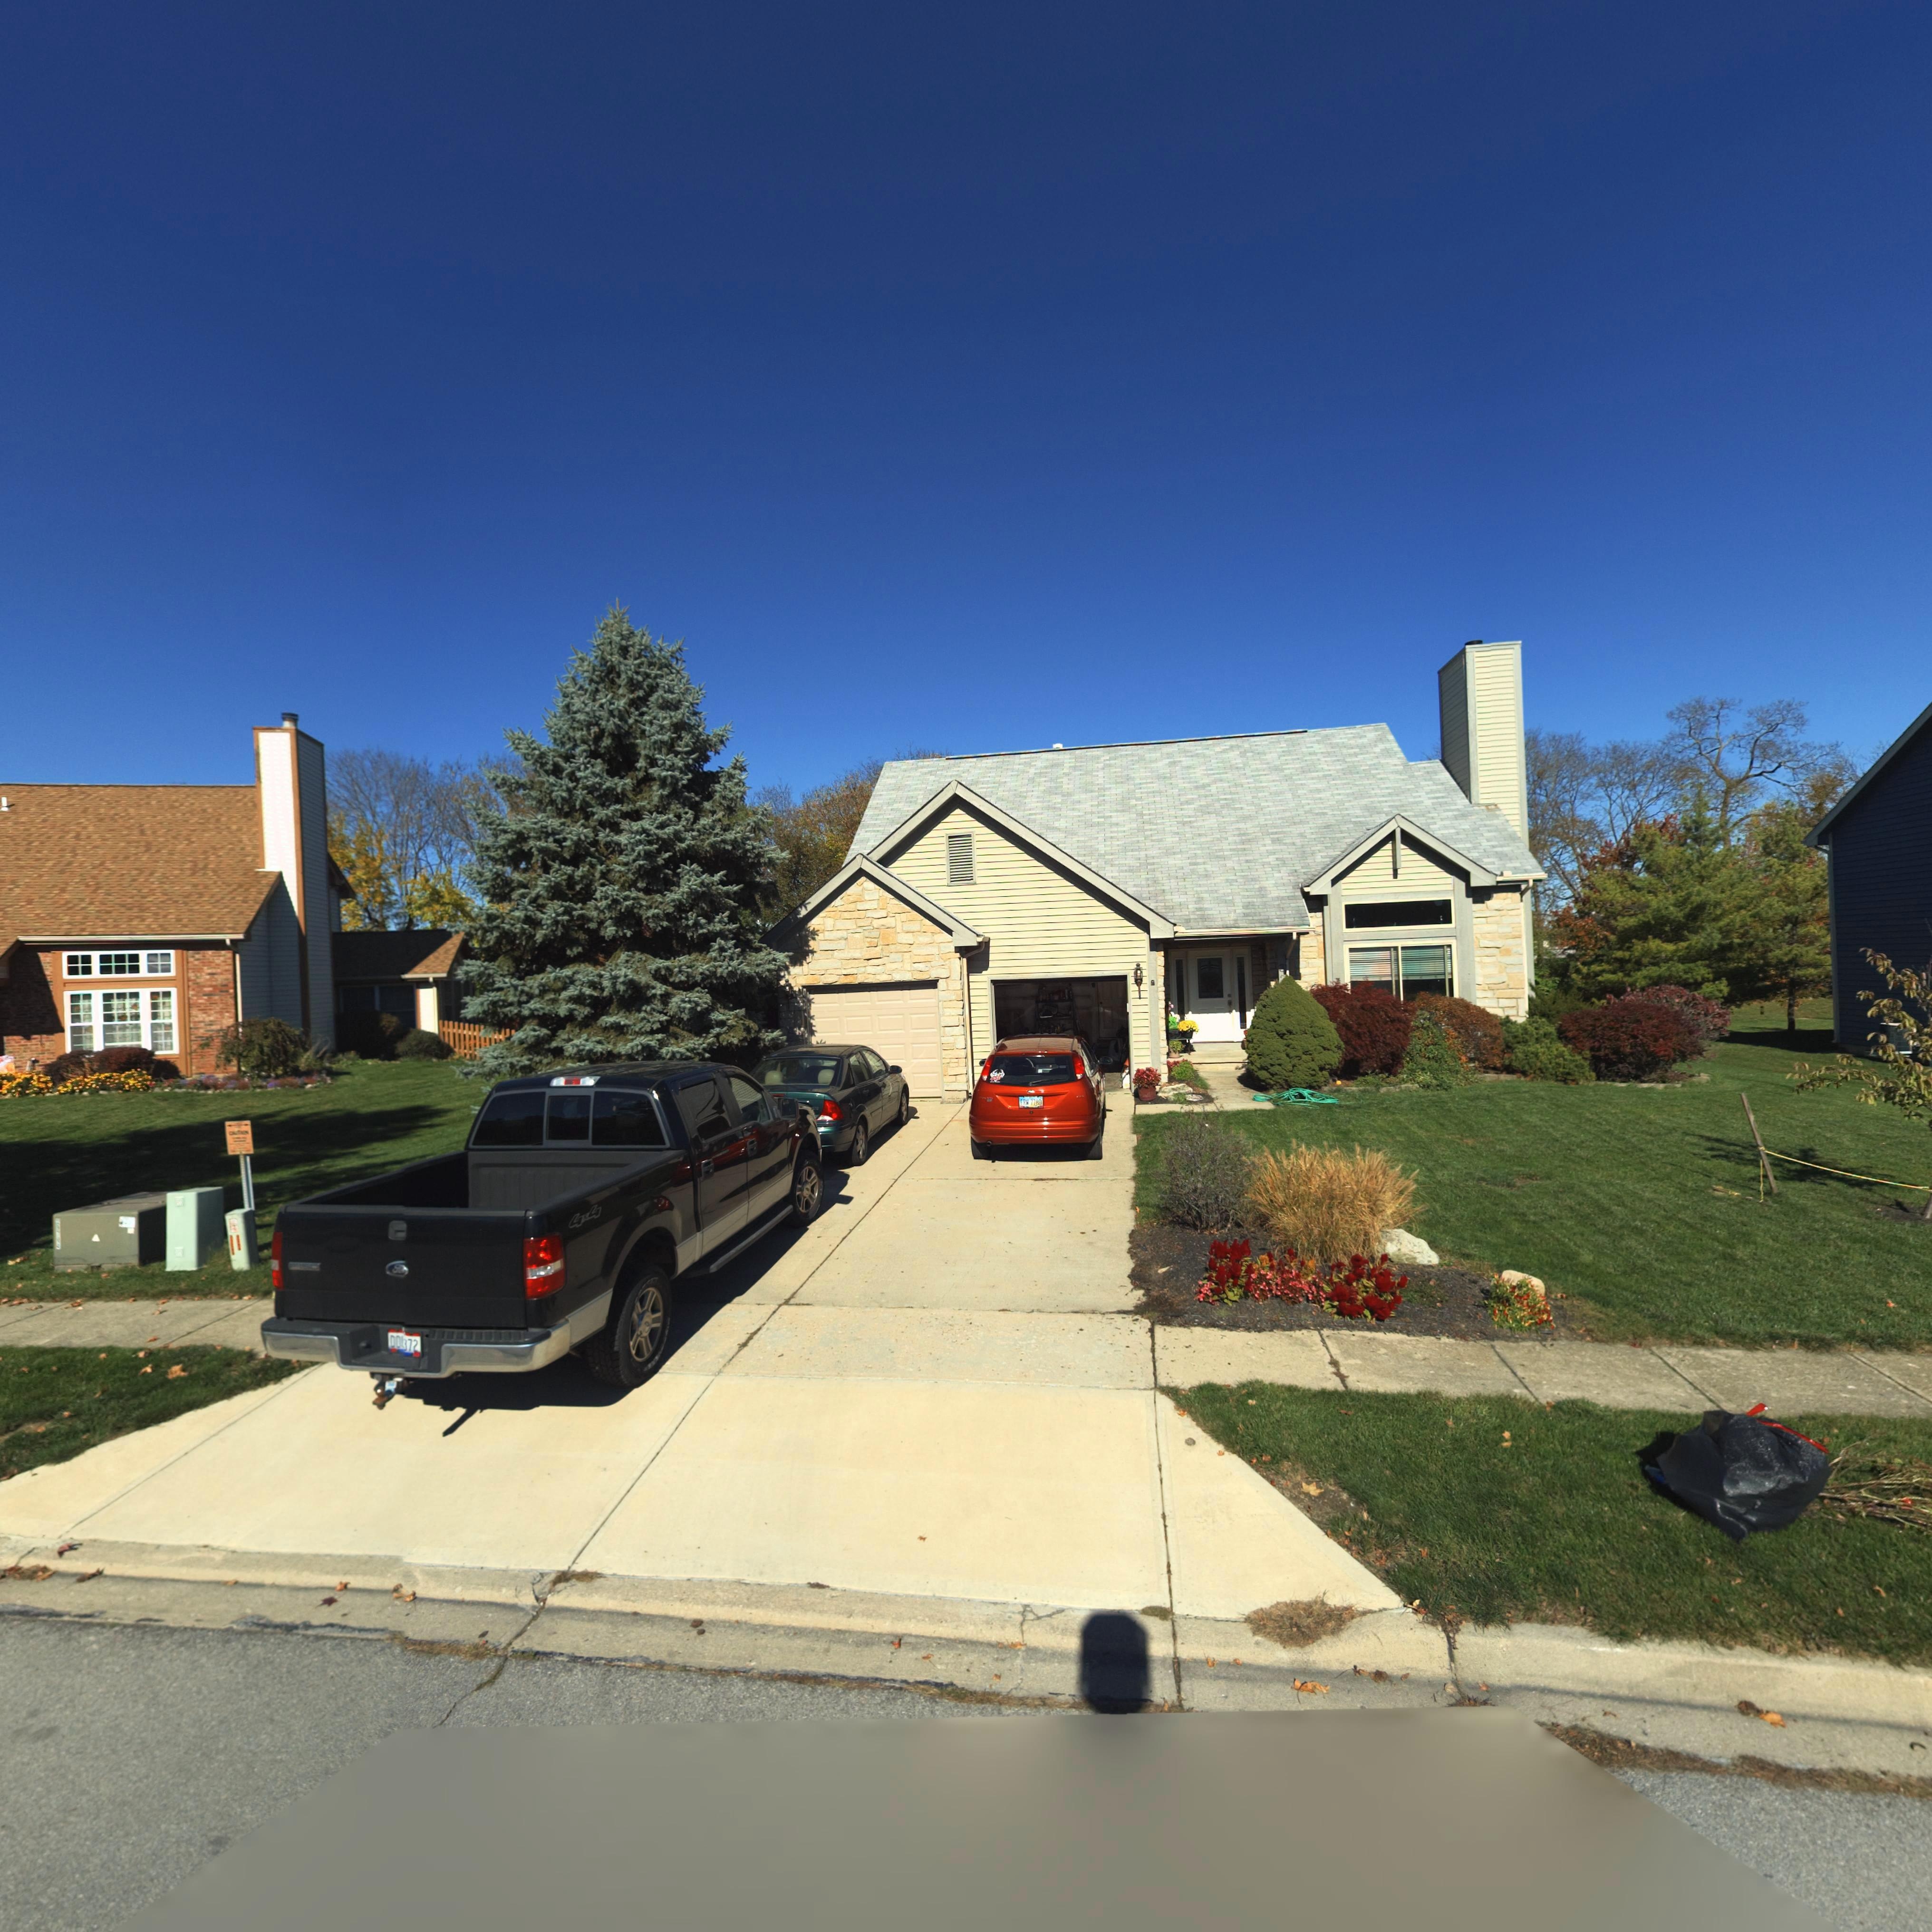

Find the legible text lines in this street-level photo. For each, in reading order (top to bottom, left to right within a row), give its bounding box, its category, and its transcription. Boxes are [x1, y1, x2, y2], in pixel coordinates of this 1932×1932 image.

[1279, 963, 1286, 973] StreetNumber: 3